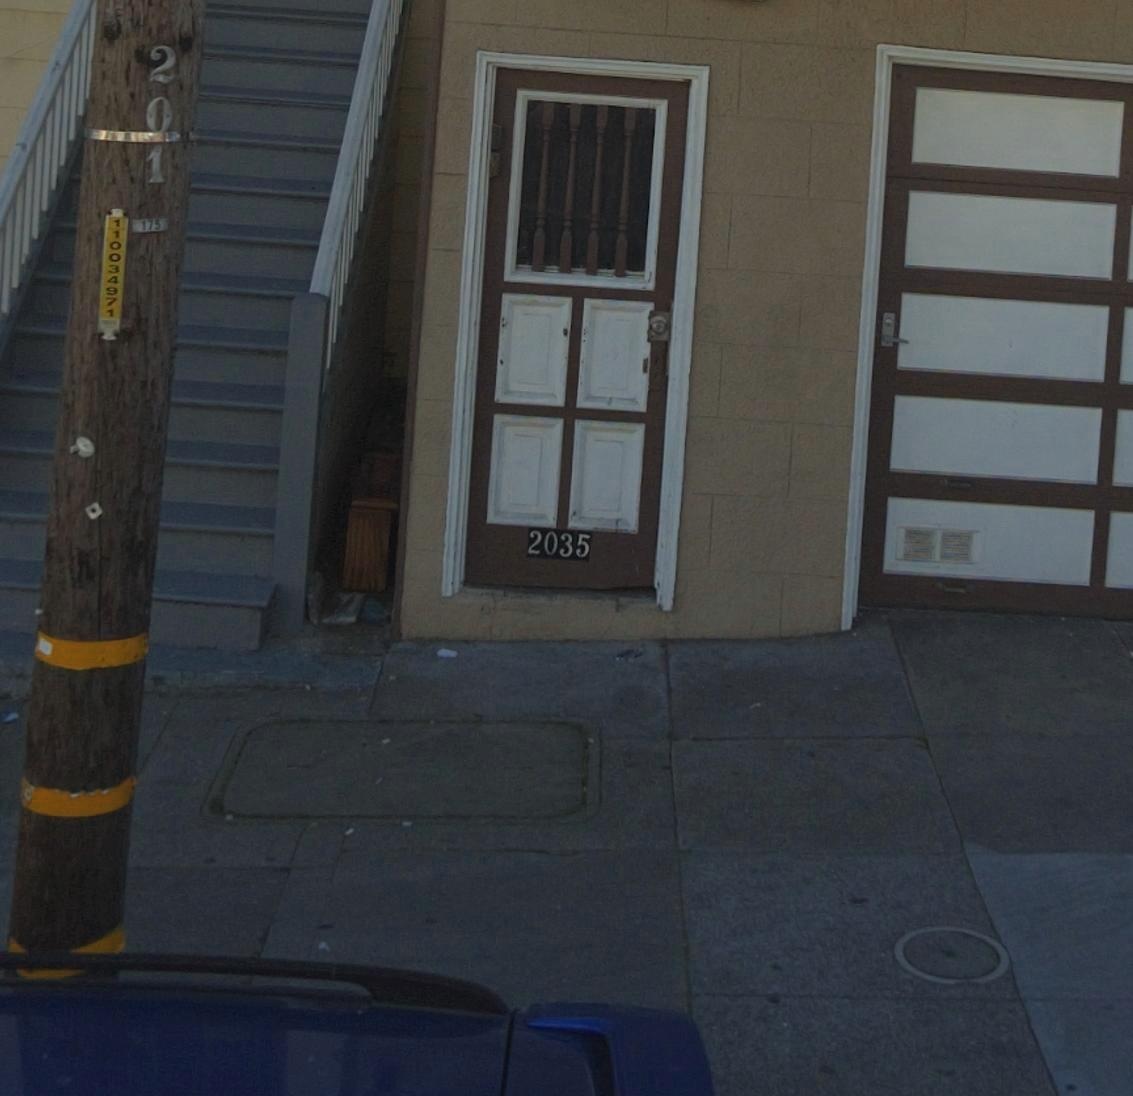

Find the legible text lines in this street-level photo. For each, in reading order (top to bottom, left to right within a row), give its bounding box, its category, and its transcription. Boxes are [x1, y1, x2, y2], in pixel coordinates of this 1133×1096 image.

[141, 43, 179, 191] None: 201
[101, 215, 127, 321] None: 110034971
[139, 216, 164, 234] None: 175
[525, 529, 593, 560] StreetNumber: 2035